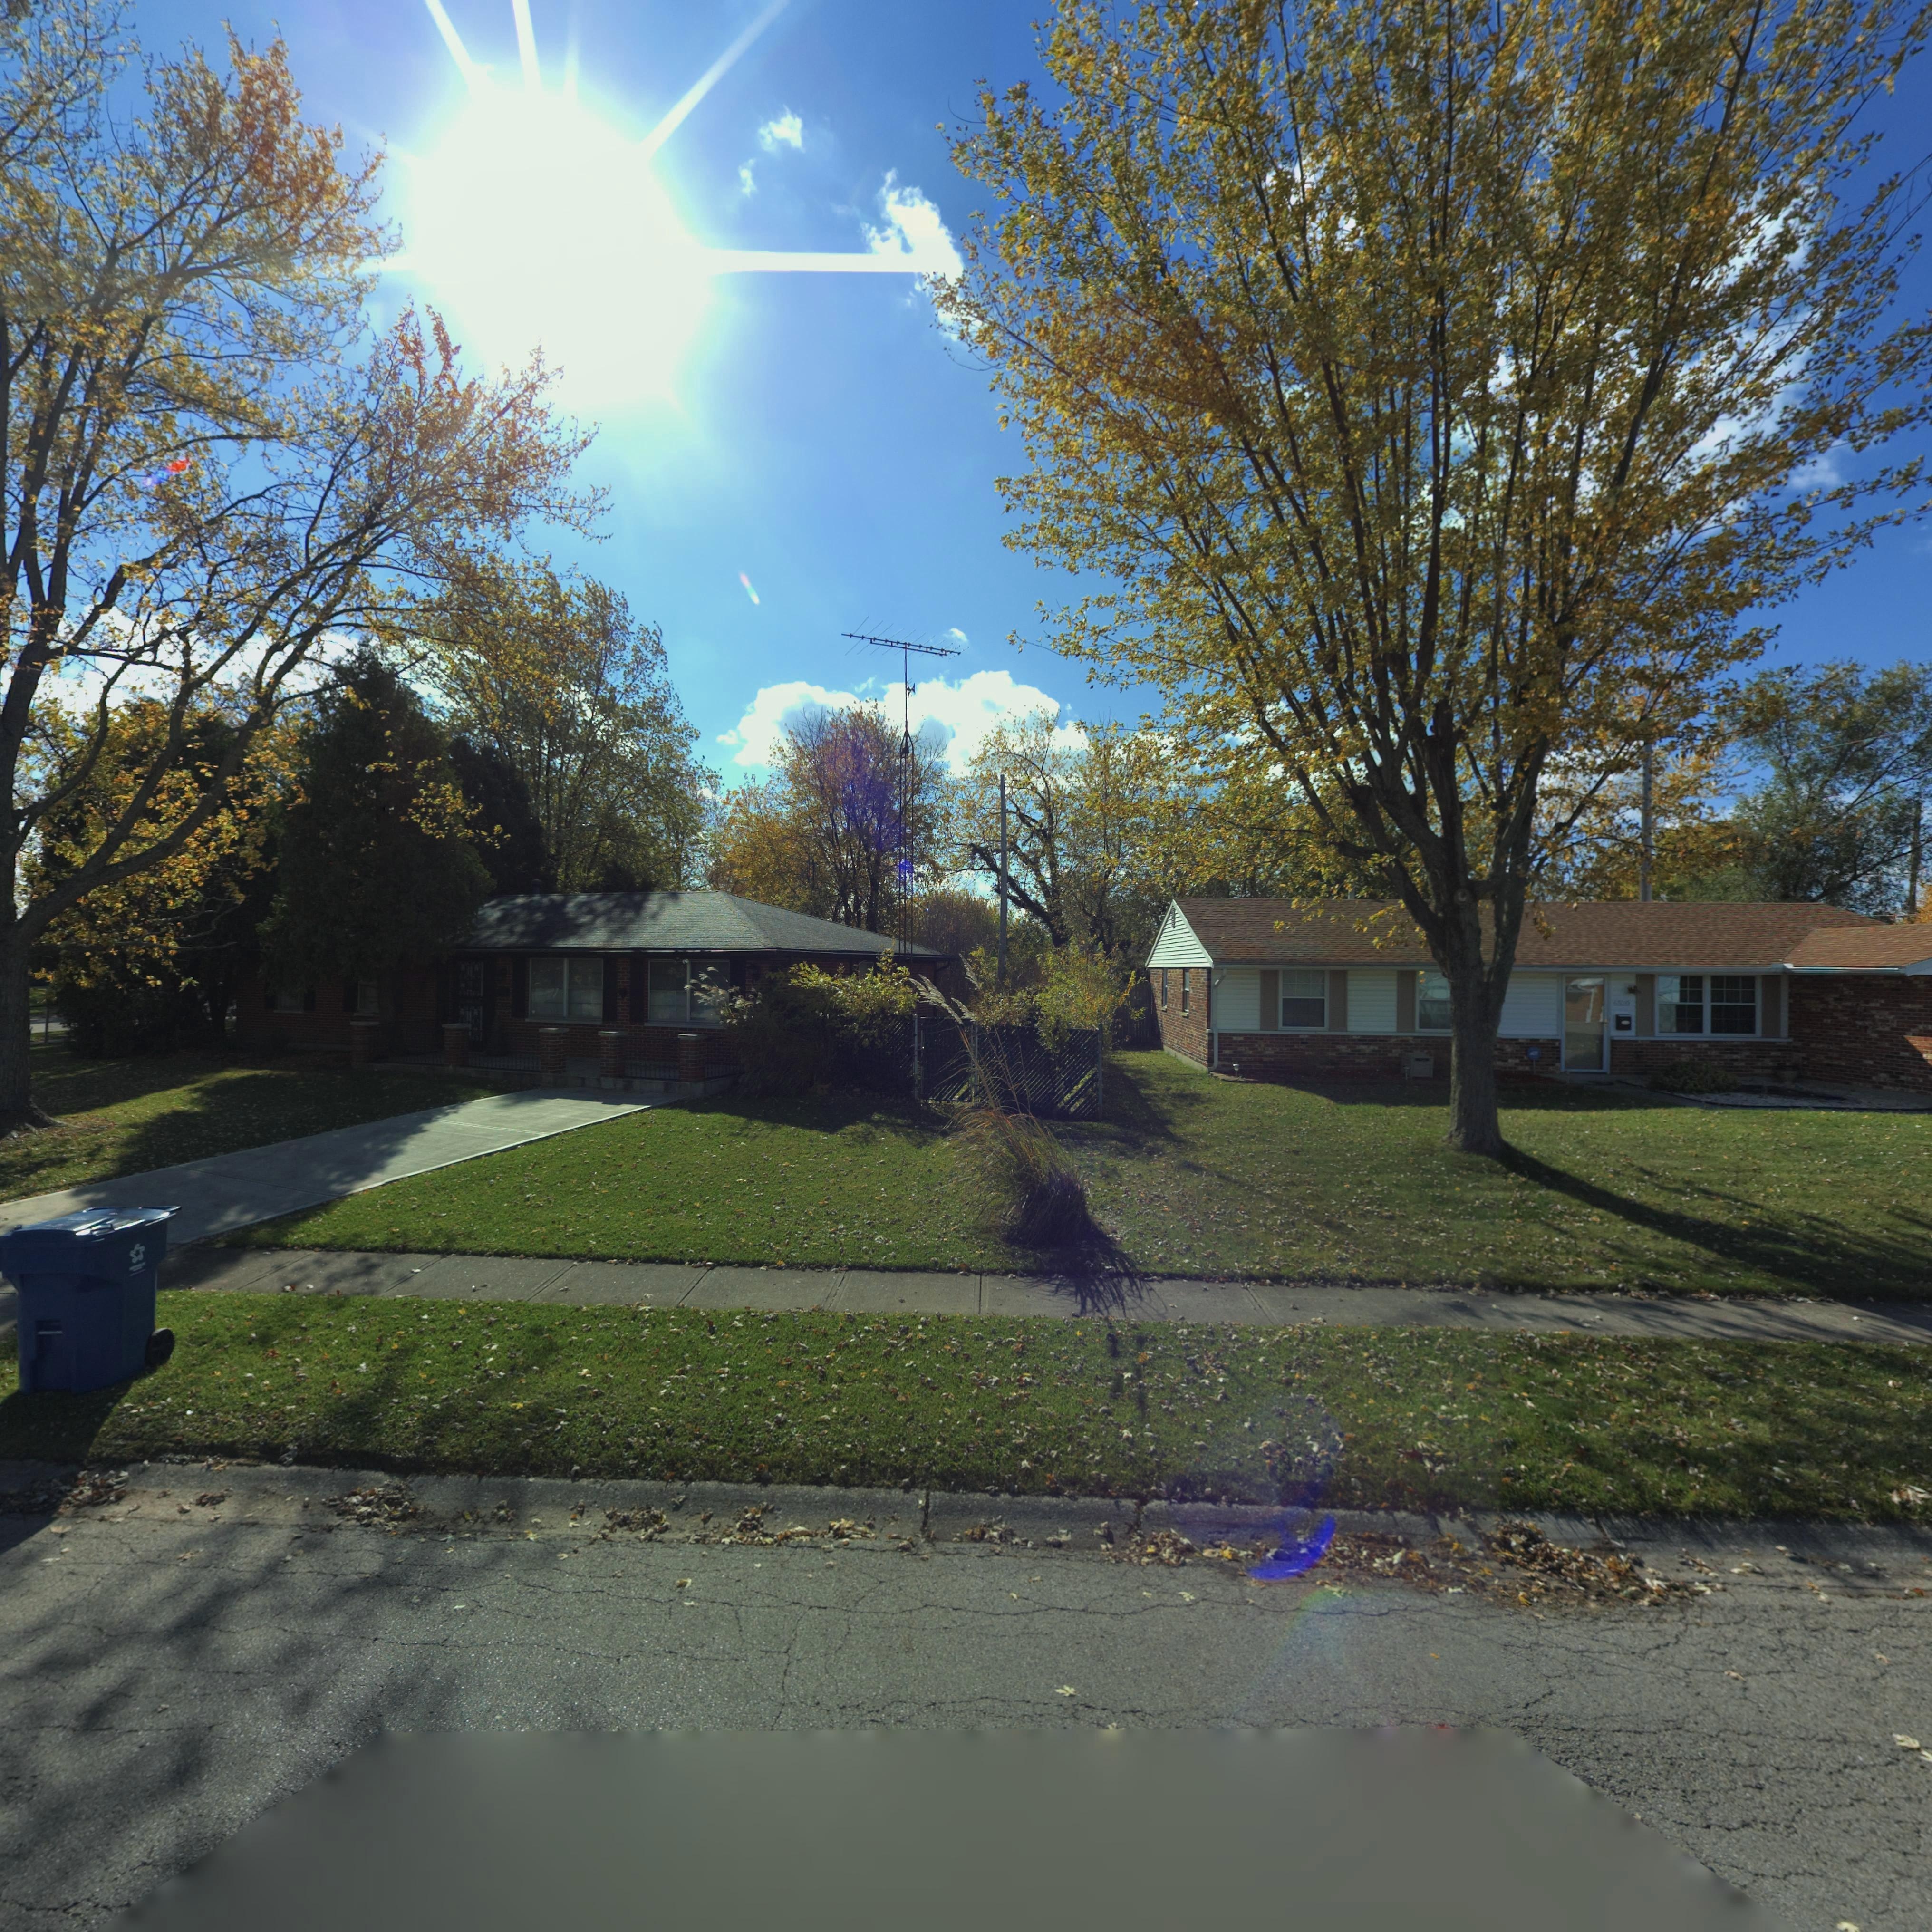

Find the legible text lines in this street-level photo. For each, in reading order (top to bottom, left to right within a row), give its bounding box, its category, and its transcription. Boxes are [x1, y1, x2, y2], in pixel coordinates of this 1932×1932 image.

[1612, 1000, 1631, 1006] StreetNumber: 65*0